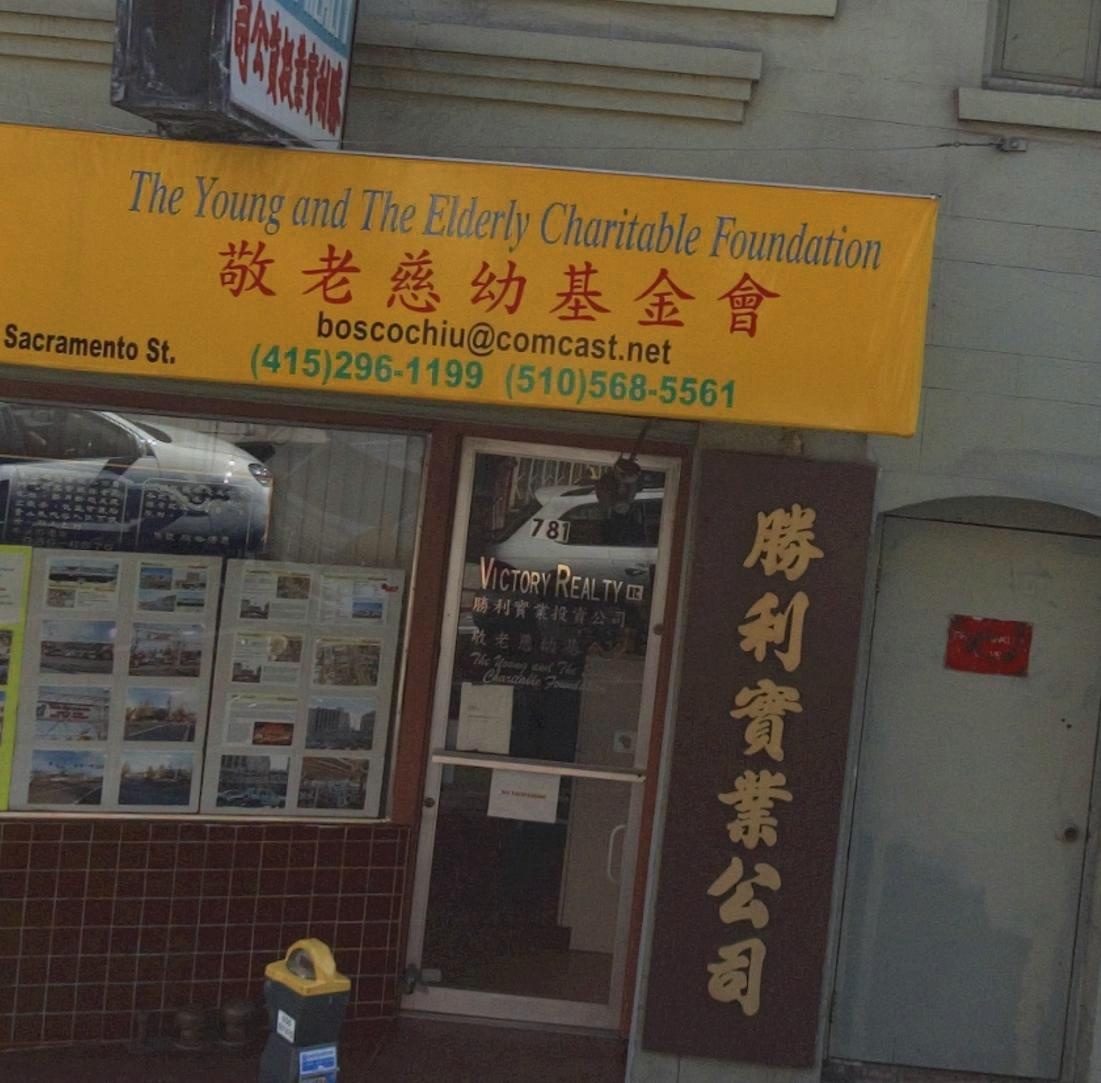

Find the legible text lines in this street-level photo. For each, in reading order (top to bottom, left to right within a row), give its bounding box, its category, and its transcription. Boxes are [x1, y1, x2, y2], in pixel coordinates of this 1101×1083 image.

[122, 167, 885, 273] BusinessName: The-Young and The Elderly Charitable Foundation
[2, 321, 177, 367] StreetName: Sacramento St.
[248, 339, 485, 390] None: (415)296-1199
[315, 308, 674, 367] None: boscochiu@comcast.net
[503, 360, 737, 412] None: (510)568-5561
[529, 516, 571, 544] StreetNumber: 781
[478, 553, 626, 606] BusinessName: VICTORY REALTY